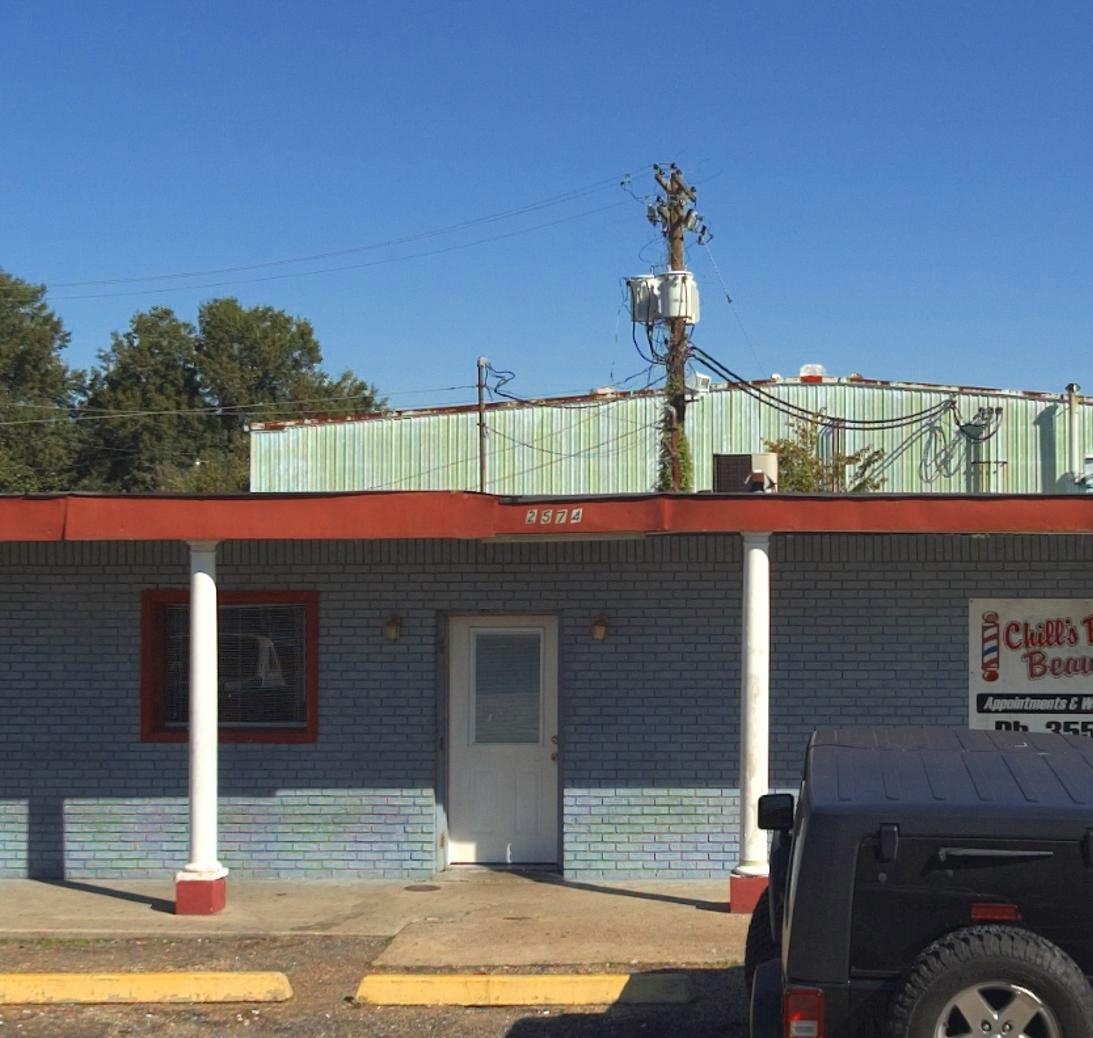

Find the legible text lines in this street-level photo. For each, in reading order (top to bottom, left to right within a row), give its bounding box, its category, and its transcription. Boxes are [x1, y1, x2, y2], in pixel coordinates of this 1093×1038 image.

[525, 508, 583, 524] StreetNumber: 2574
[1002, 615, 1081, 654] BusinessName: Chill's
[1018, 649, 1093, 682] BusinessName: Beau
[980, 695, 1080, 713] None: Appointments &